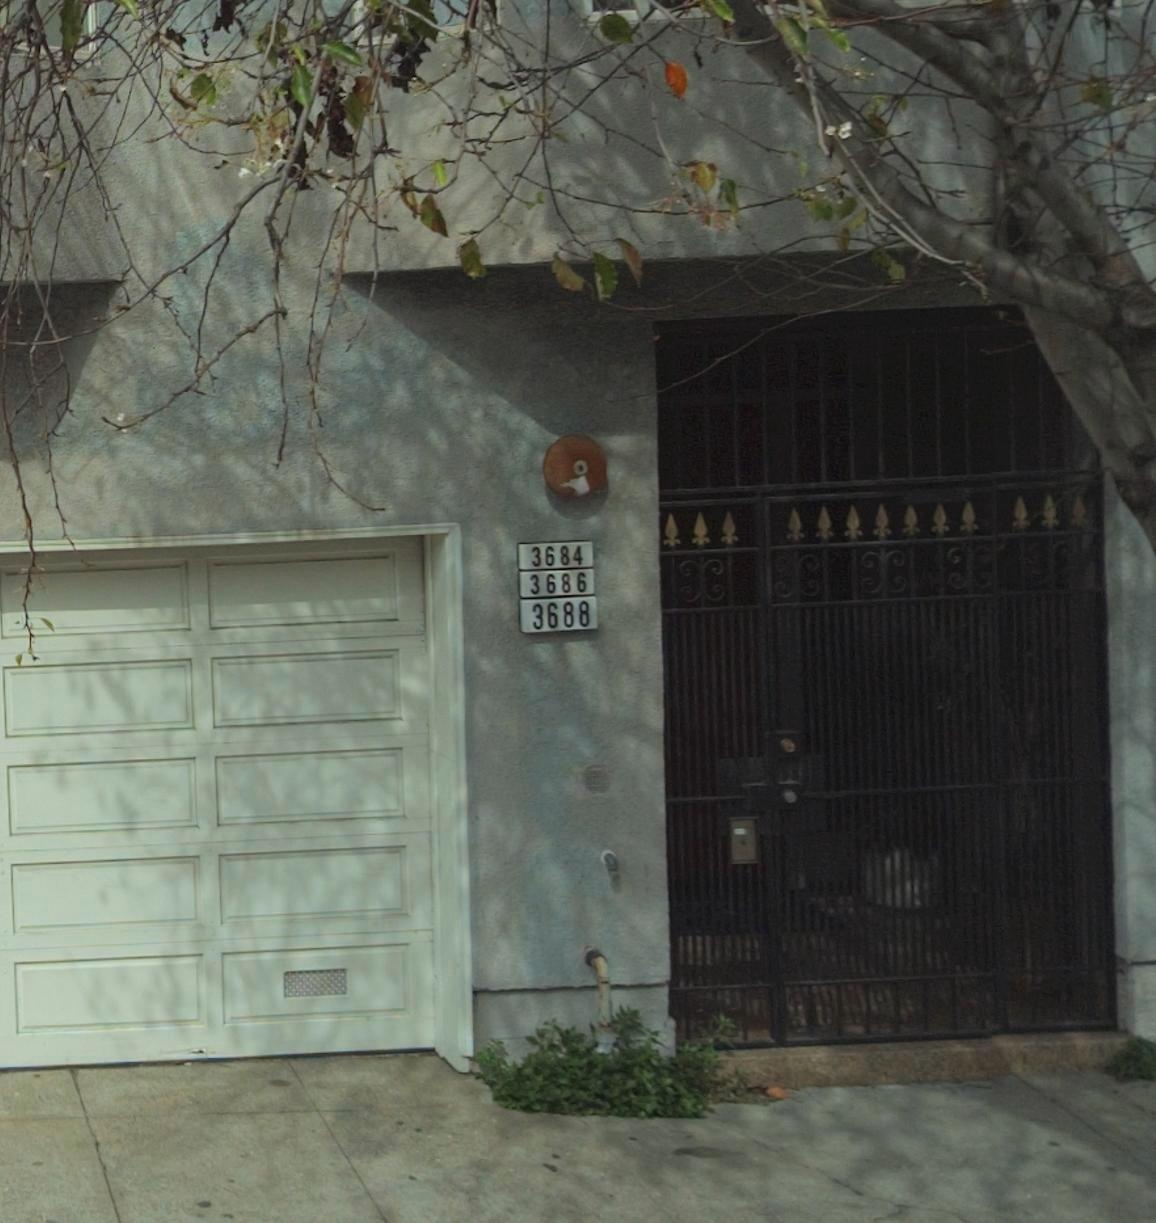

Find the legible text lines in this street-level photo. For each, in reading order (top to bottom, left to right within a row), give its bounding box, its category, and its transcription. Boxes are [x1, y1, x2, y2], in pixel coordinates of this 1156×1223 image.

[530, 545, 584, 568] StreetNumber: 3684
[529, 571, 588, 596] StreetNumber: 3686
[532, 599, 592, 630] StreetNumber: 3688